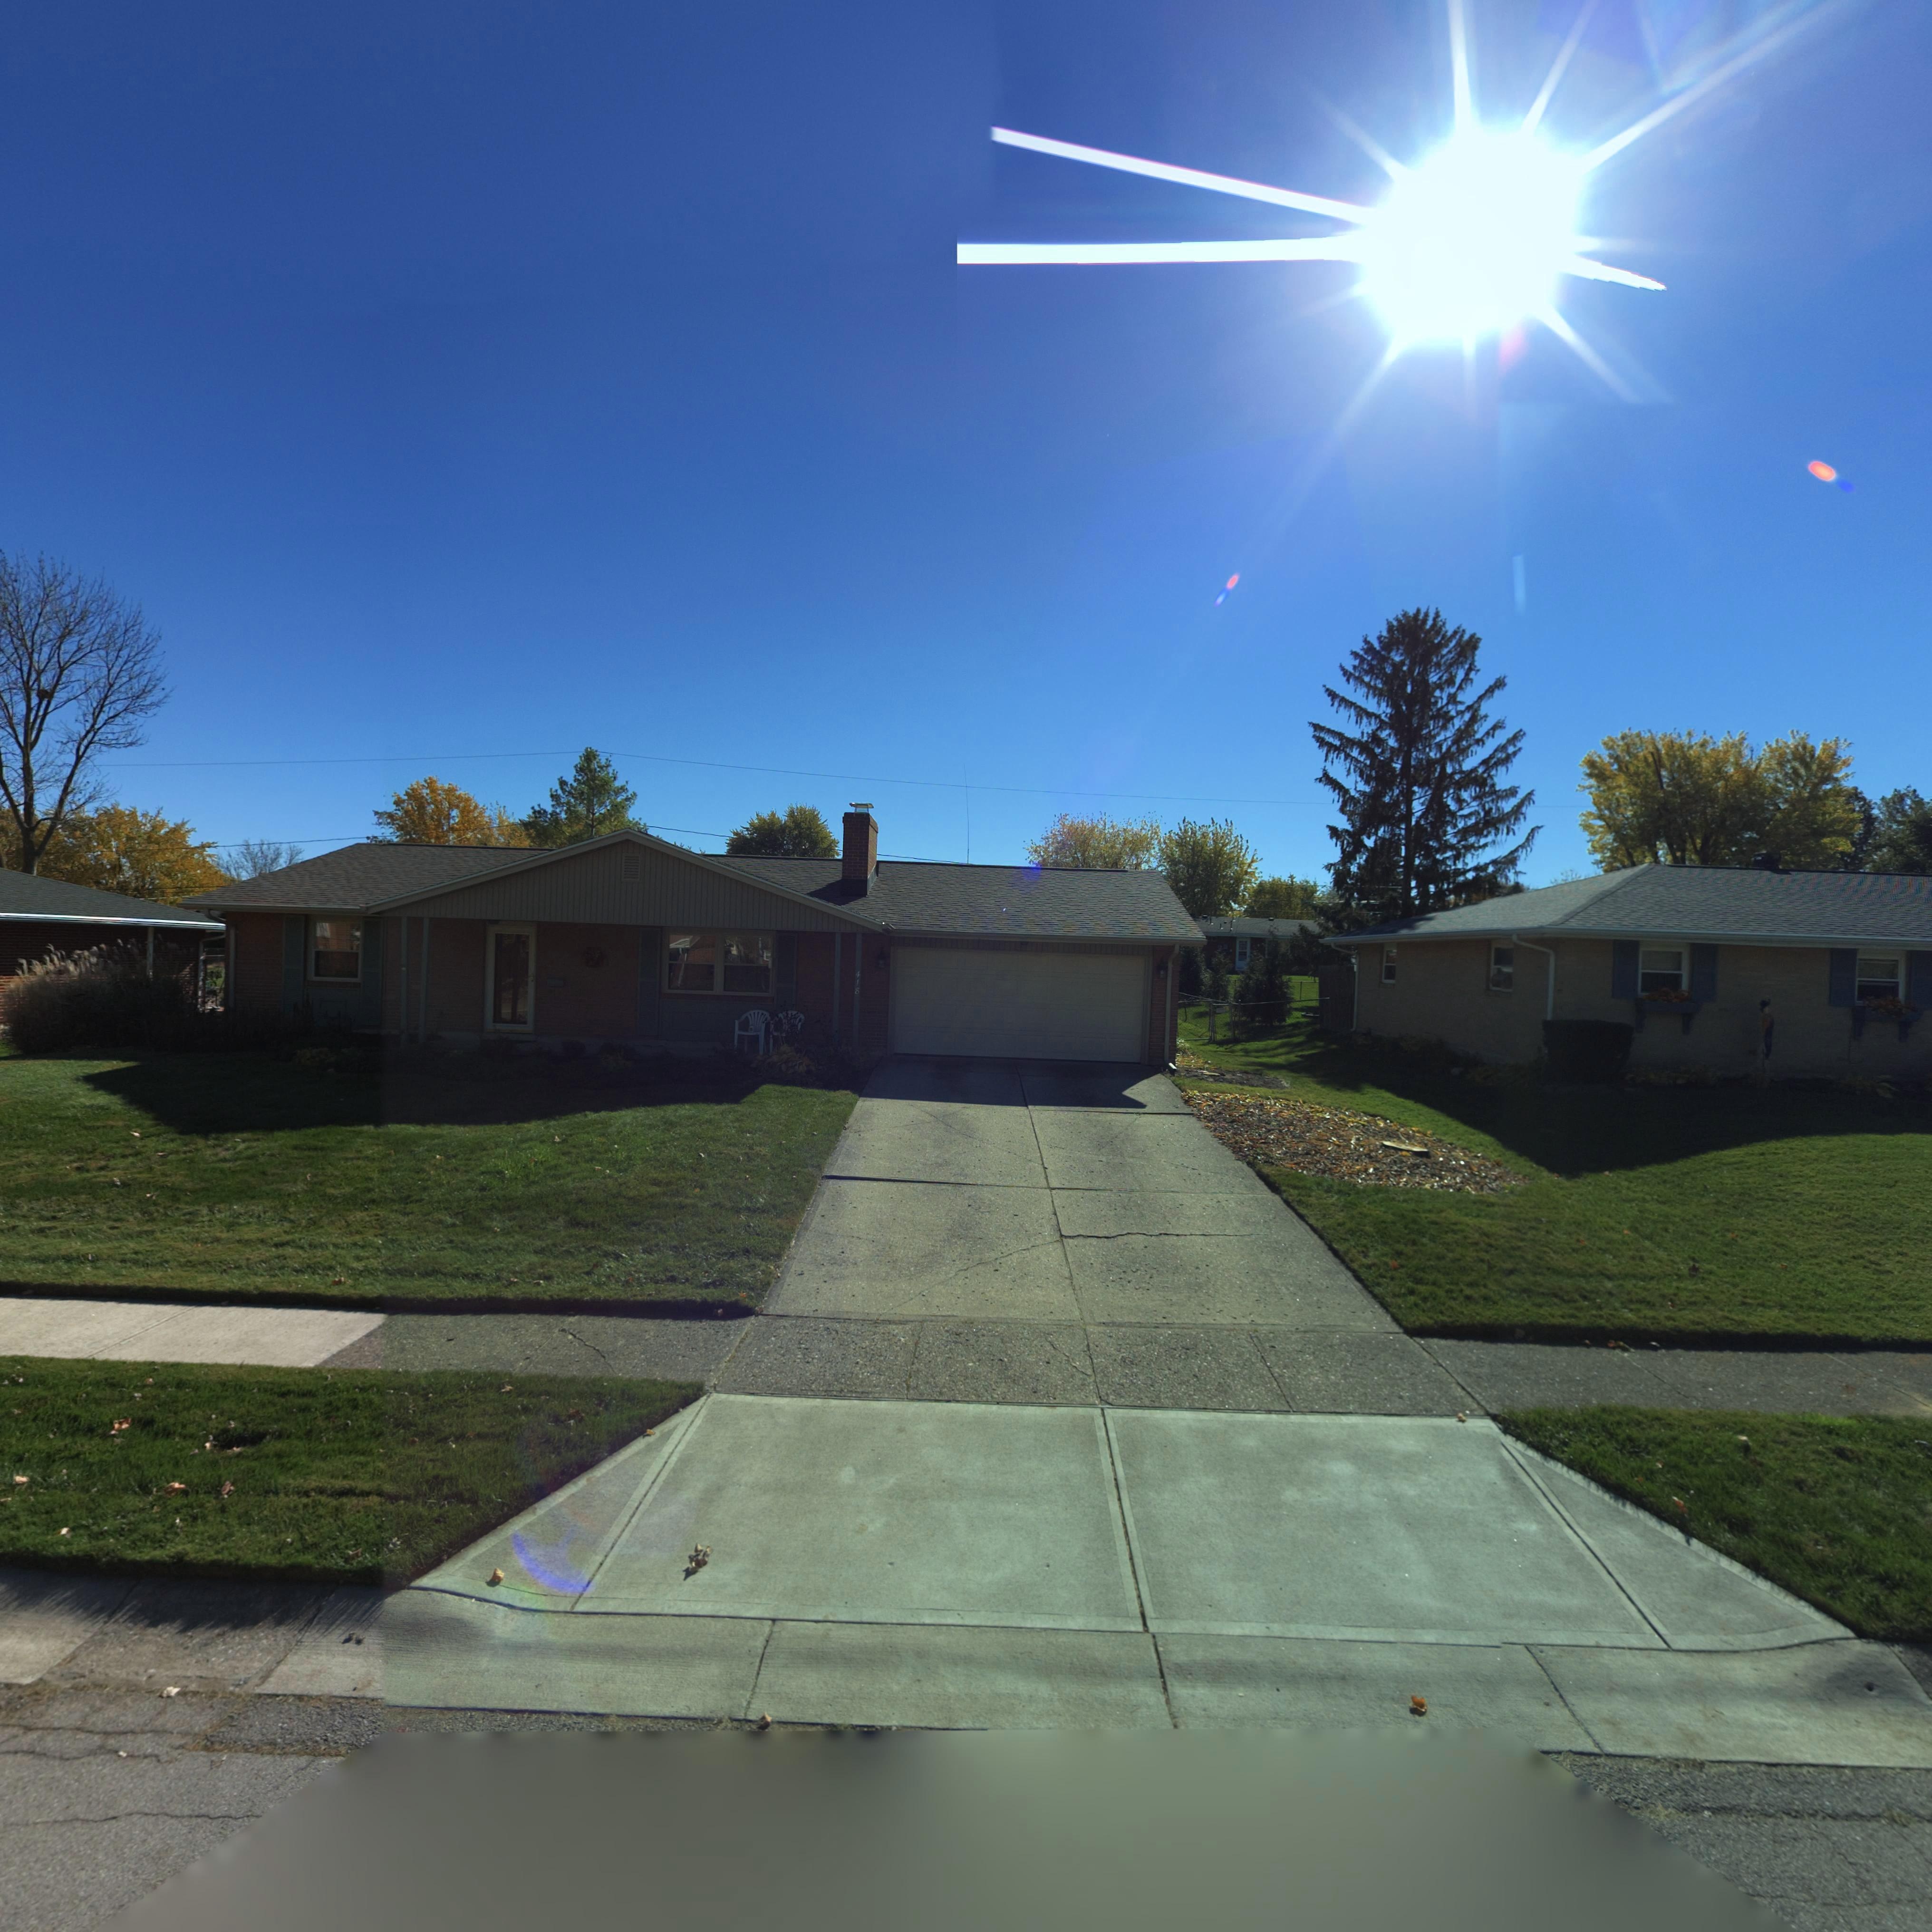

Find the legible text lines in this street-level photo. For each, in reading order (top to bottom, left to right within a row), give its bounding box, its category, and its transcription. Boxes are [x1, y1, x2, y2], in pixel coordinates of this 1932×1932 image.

[854, 969, 861, 995] StreetNumber: 418